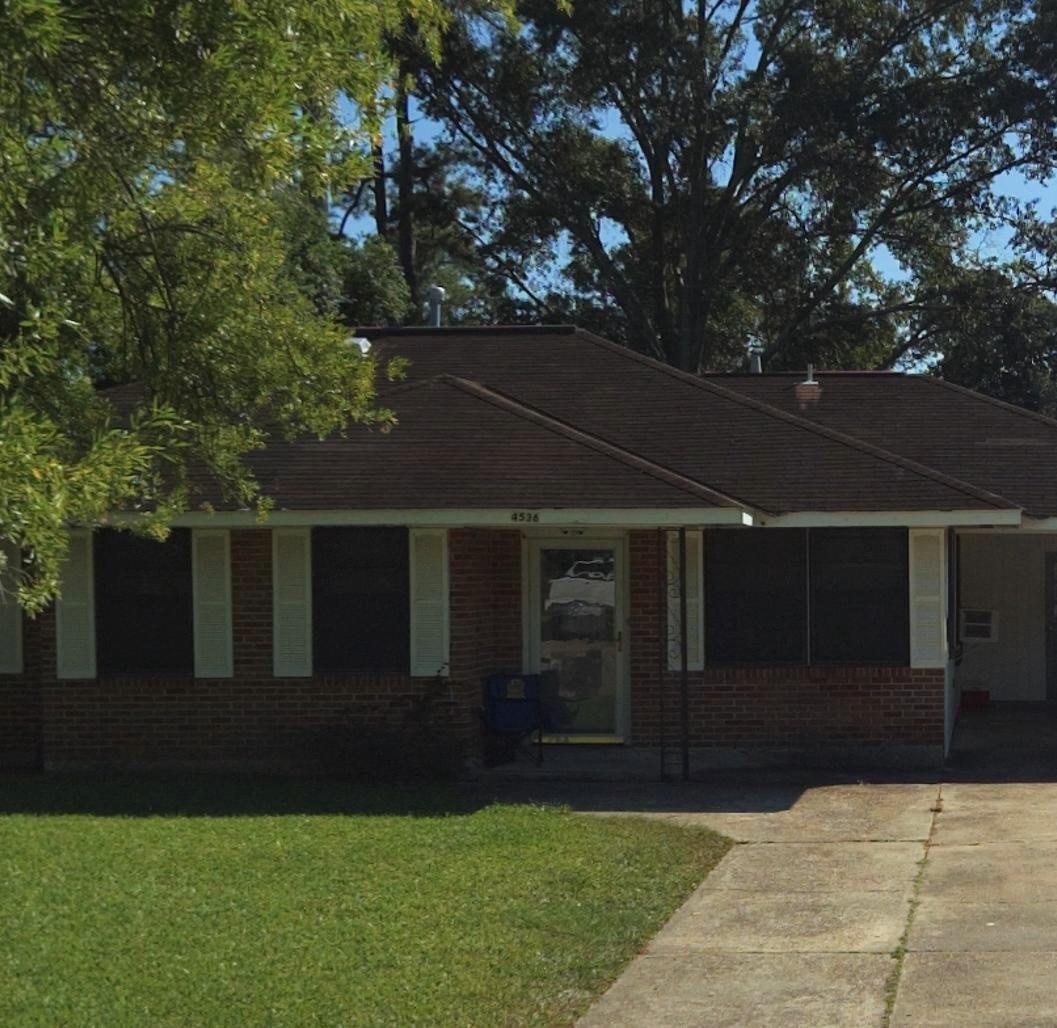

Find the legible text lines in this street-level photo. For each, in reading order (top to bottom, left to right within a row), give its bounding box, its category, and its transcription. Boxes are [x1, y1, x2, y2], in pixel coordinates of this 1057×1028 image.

[511, 512, 540, 523] StreetNumber: 4536